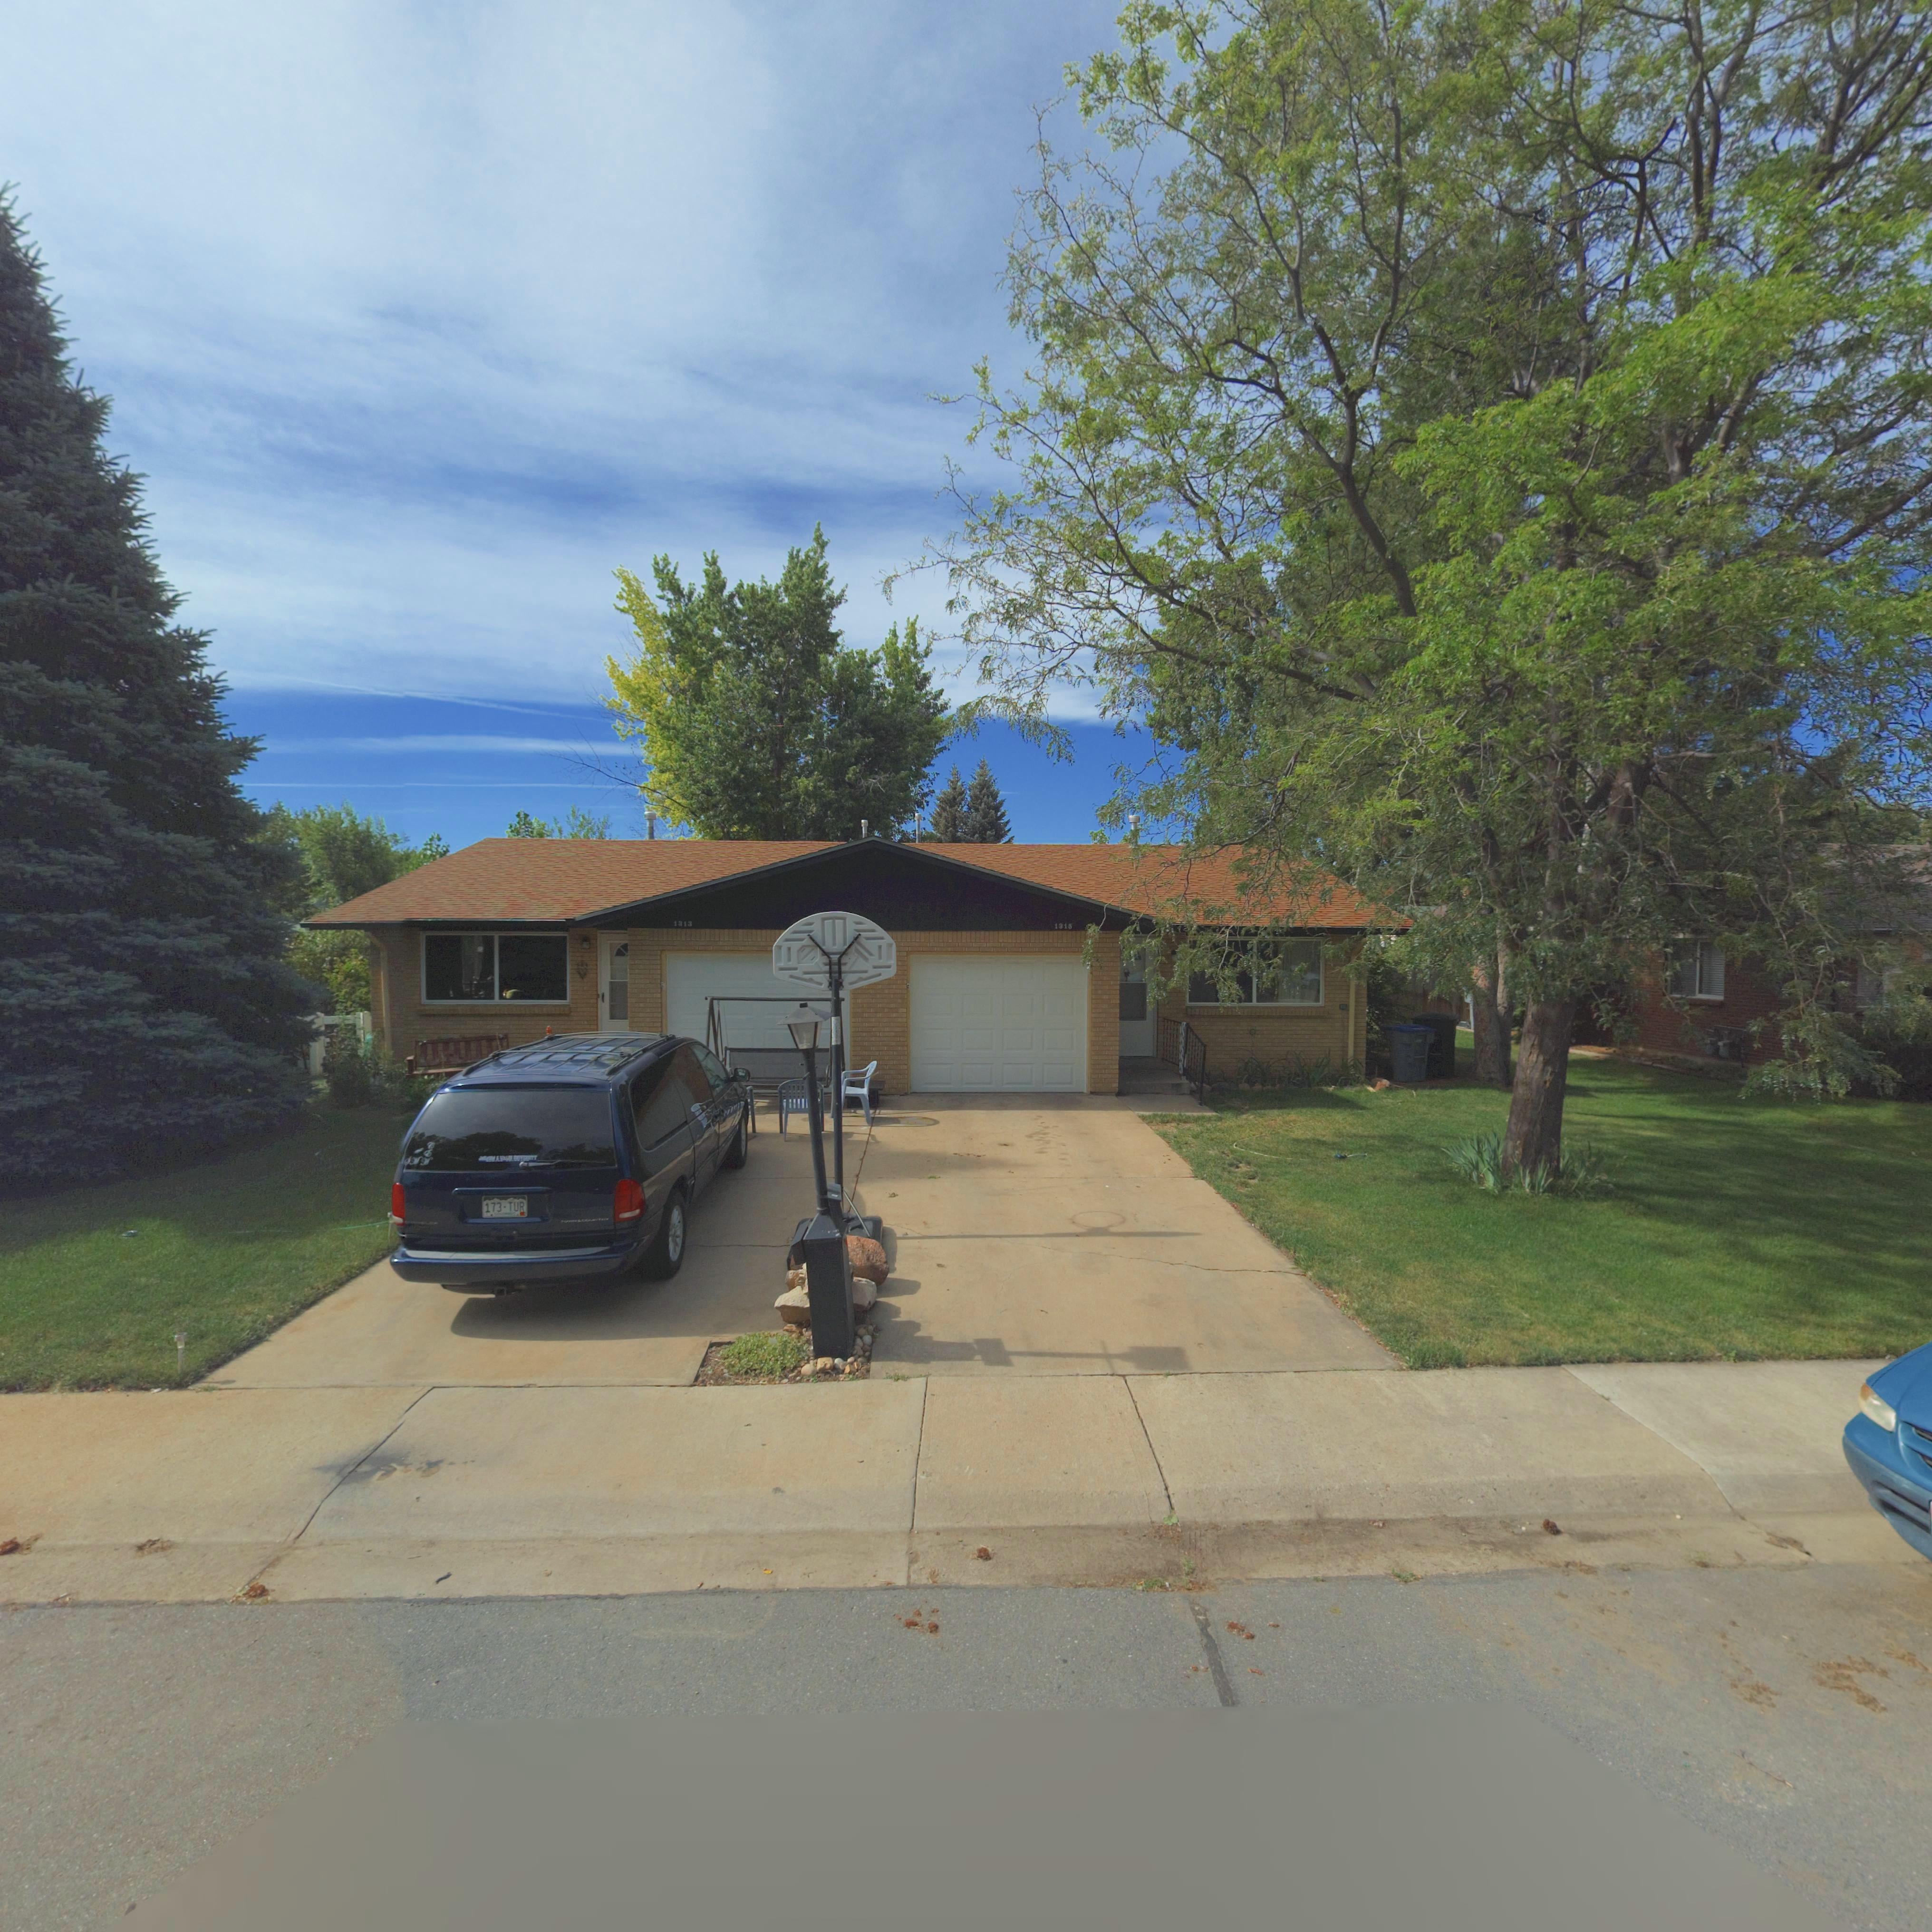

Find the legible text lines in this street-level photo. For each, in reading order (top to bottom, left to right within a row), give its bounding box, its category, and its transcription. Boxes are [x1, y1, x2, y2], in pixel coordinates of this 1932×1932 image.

[674, 920, 692, 927] StreetNumber: 1313
[1054, 923, 1072, 929] StreetNumber: 1315